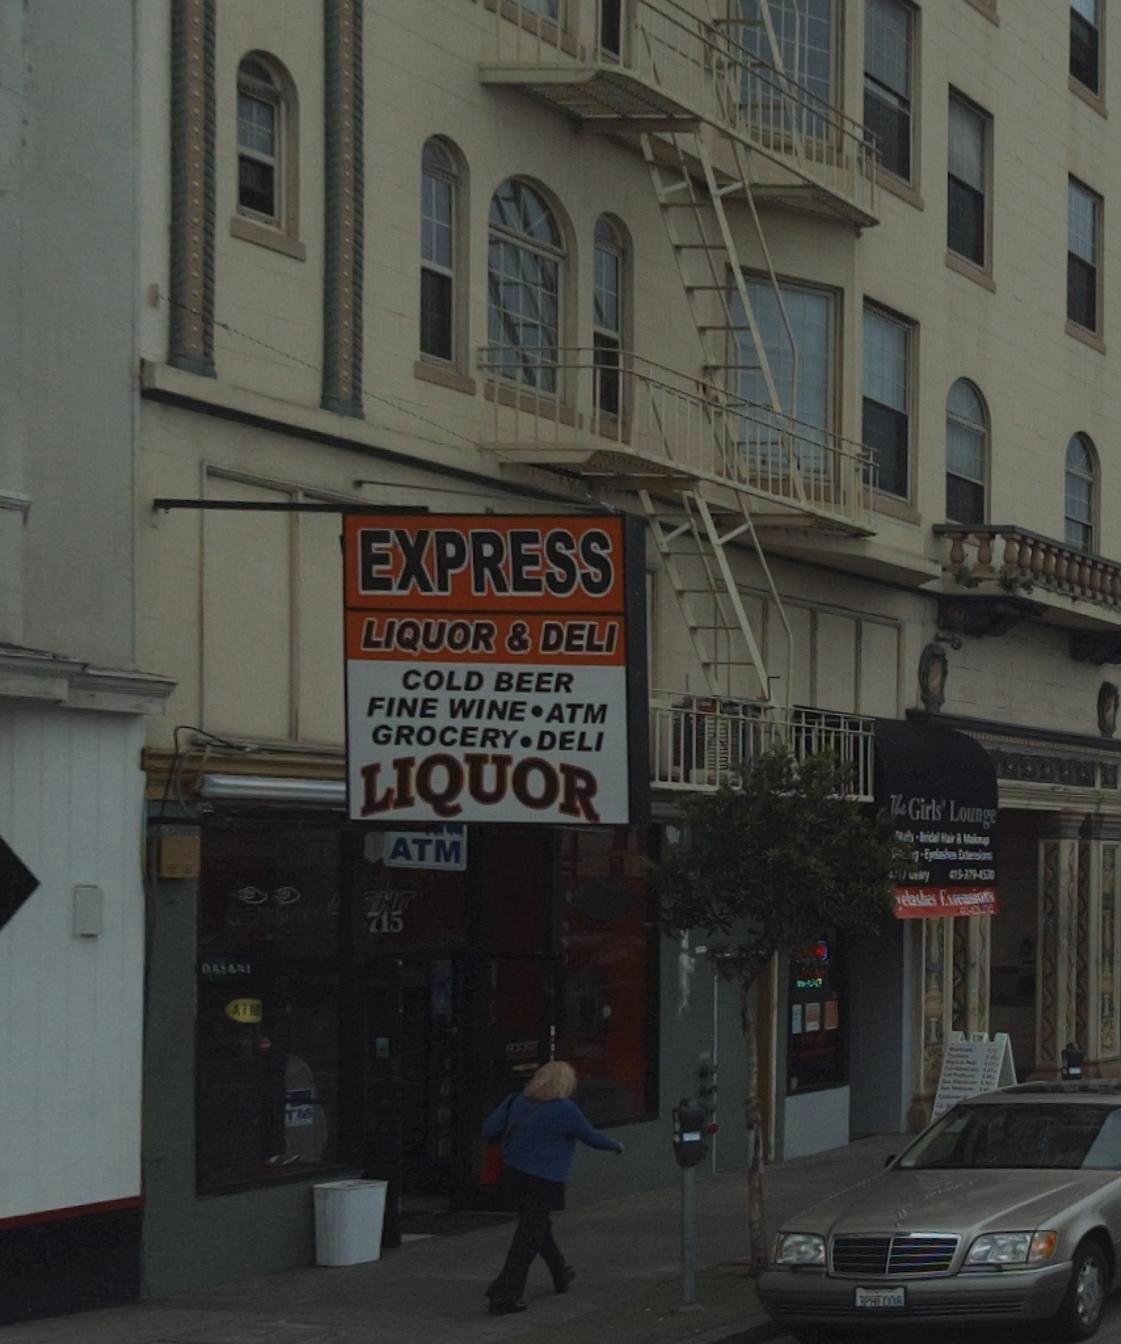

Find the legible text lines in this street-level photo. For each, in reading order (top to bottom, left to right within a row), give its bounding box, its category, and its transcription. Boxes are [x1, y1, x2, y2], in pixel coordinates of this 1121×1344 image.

[354, 524, 617, 600] BusinessName: EXPRESS
[355, 613, 623, 659] BusinessName: LIQUOR & DELI
[393, 665, 580, 696] None: COLD BEER
[361, 692, 614, 727] None: FINE WINE*ATM
[362, 720, 609, 756] None: GROCERY*DELI
[356, 748, 604, 829] None: LIQUOR
[887, 790, 999, 833] BusinessName: The Girls' Lounge
[384, 835, 464, 867] None: ATM
[922, 846, 959, 865] None: Ey********
[938, 831, 994, 848] None: Hair & Makeup
[944, 867, 998, 884] None: 415-379-4530
[898, 885, 1000, 909] None: elashes Extensions
[366, 908, 407, 937] StreetNumber: 715
[198, 959, 252, 977] BusinessName: DASANI
[228, 1002, 262, 1019] None: ATM